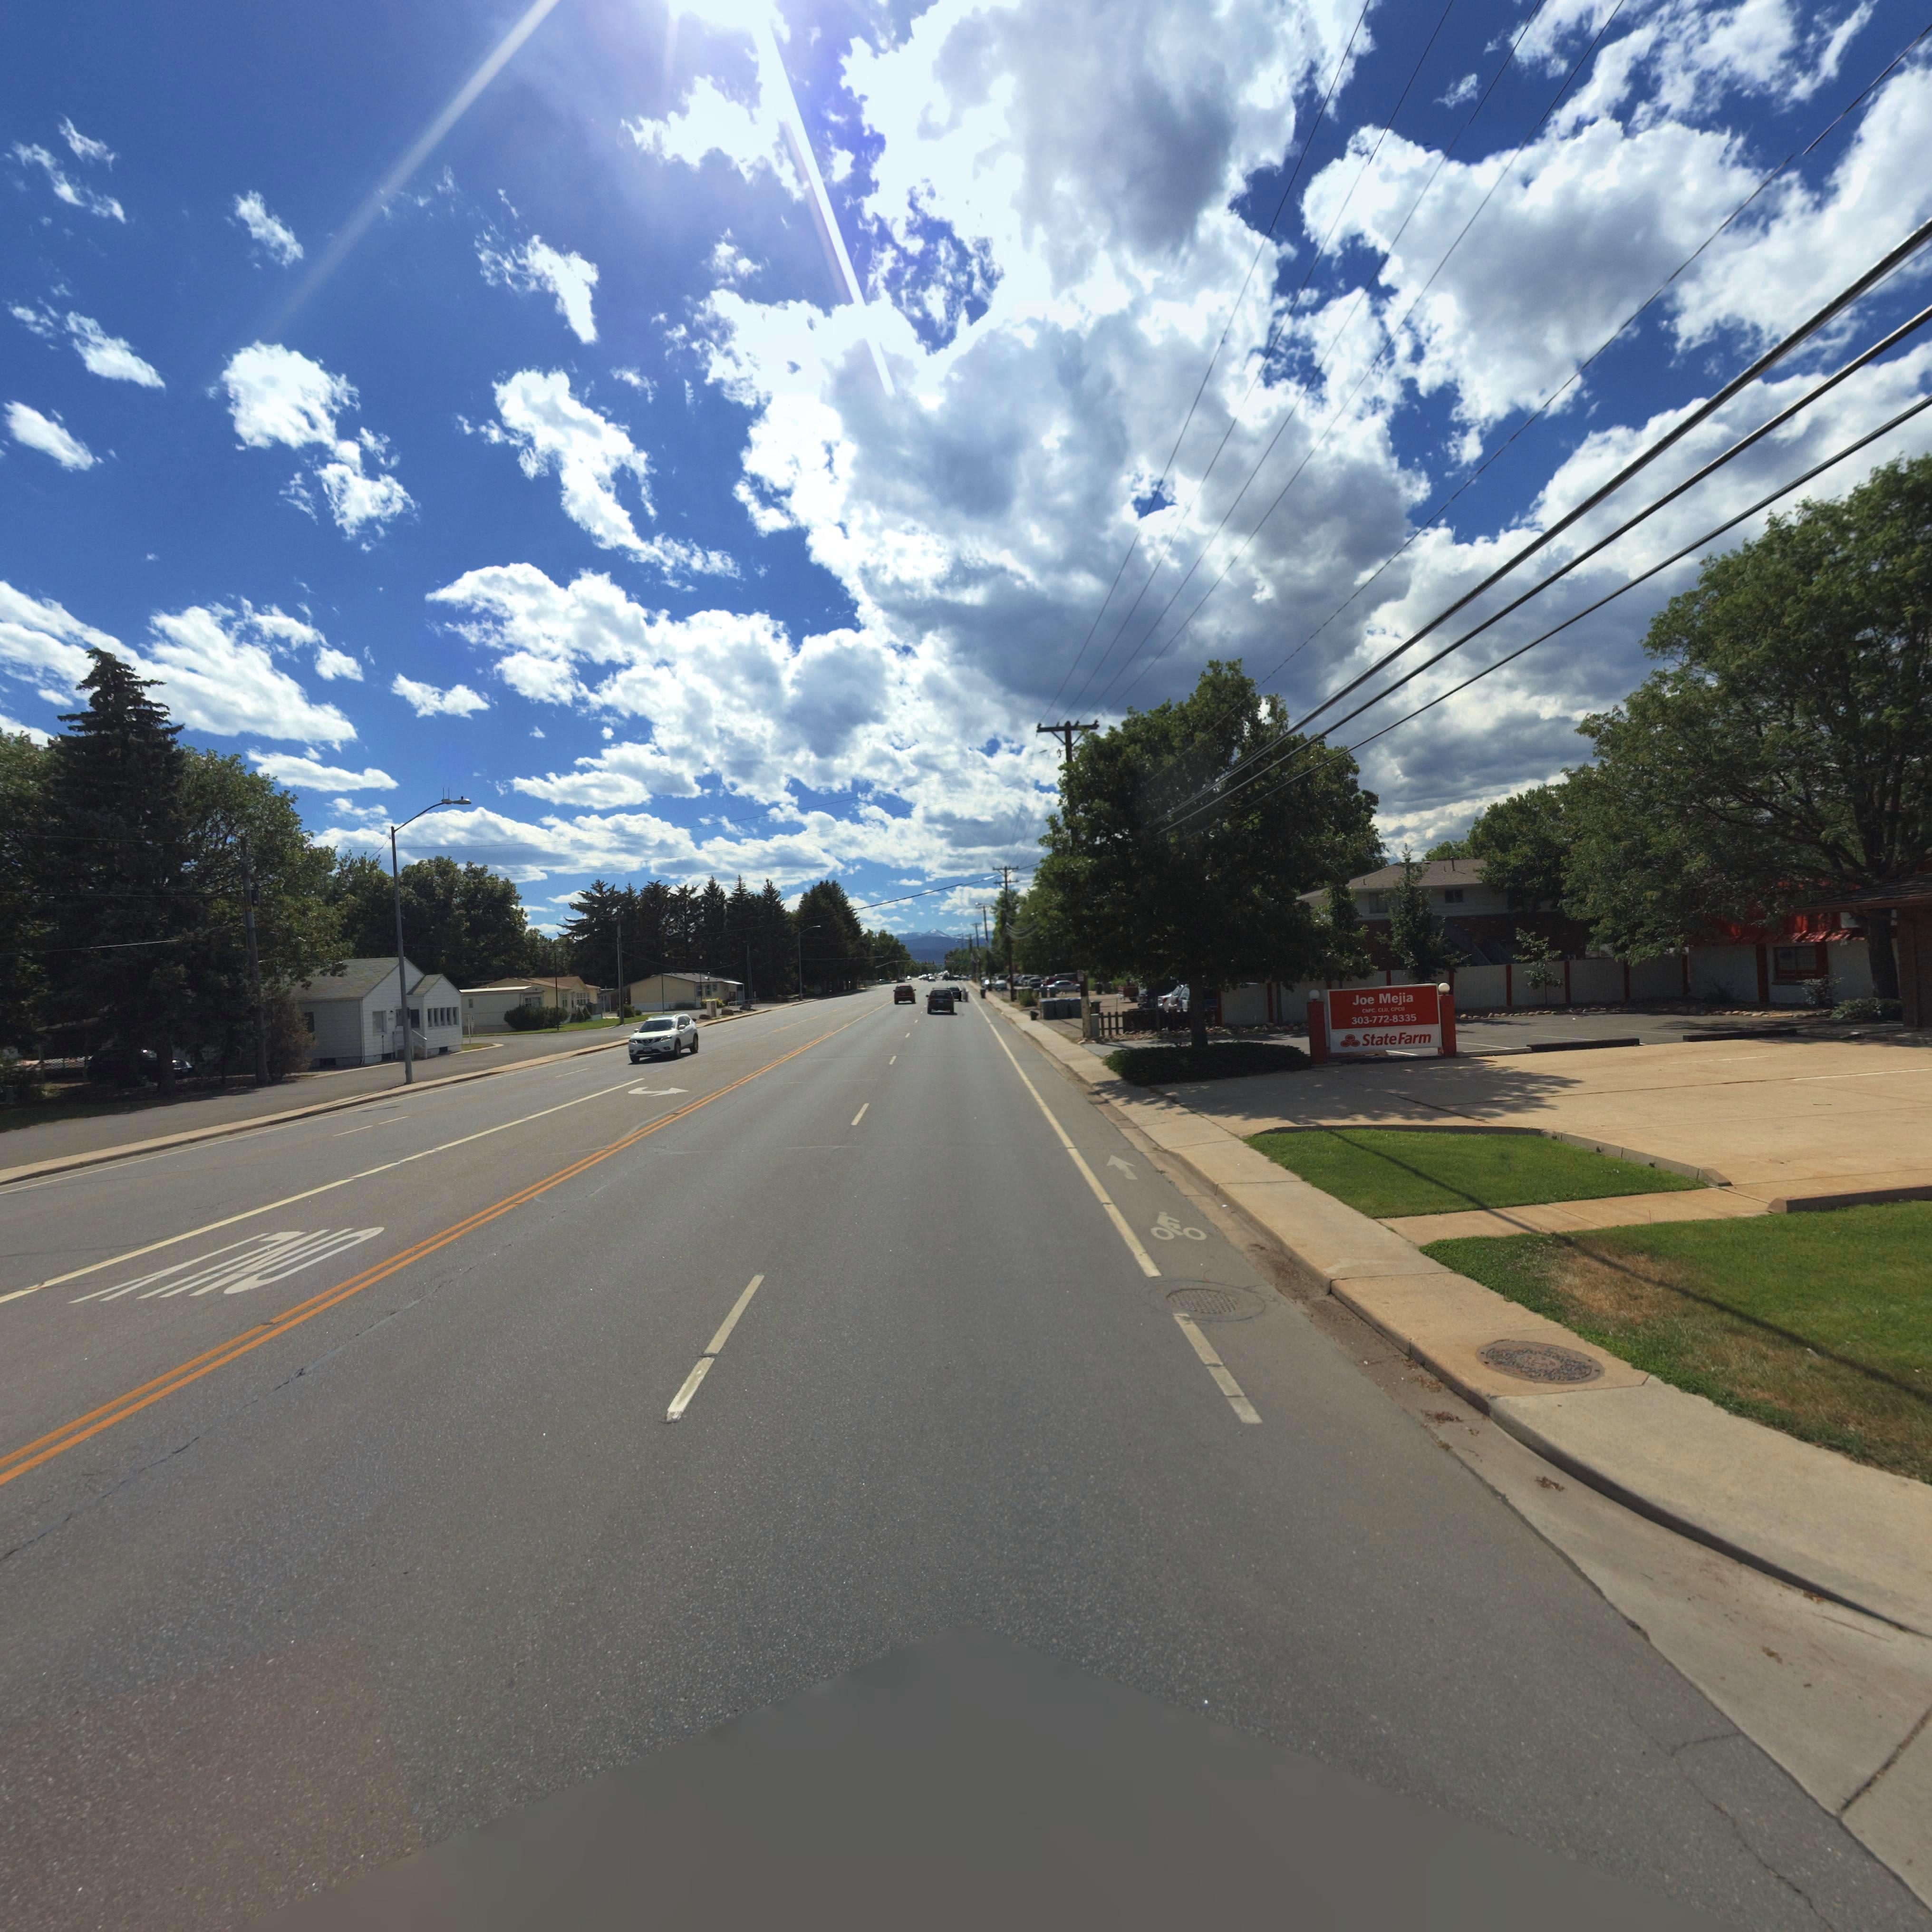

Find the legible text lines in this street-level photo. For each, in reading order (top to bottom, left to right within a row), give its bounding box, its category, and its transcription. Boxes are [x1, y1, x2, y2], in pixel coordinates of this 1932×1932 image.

[1361, 1031, 1432, 1047] BusinessName: State Farm